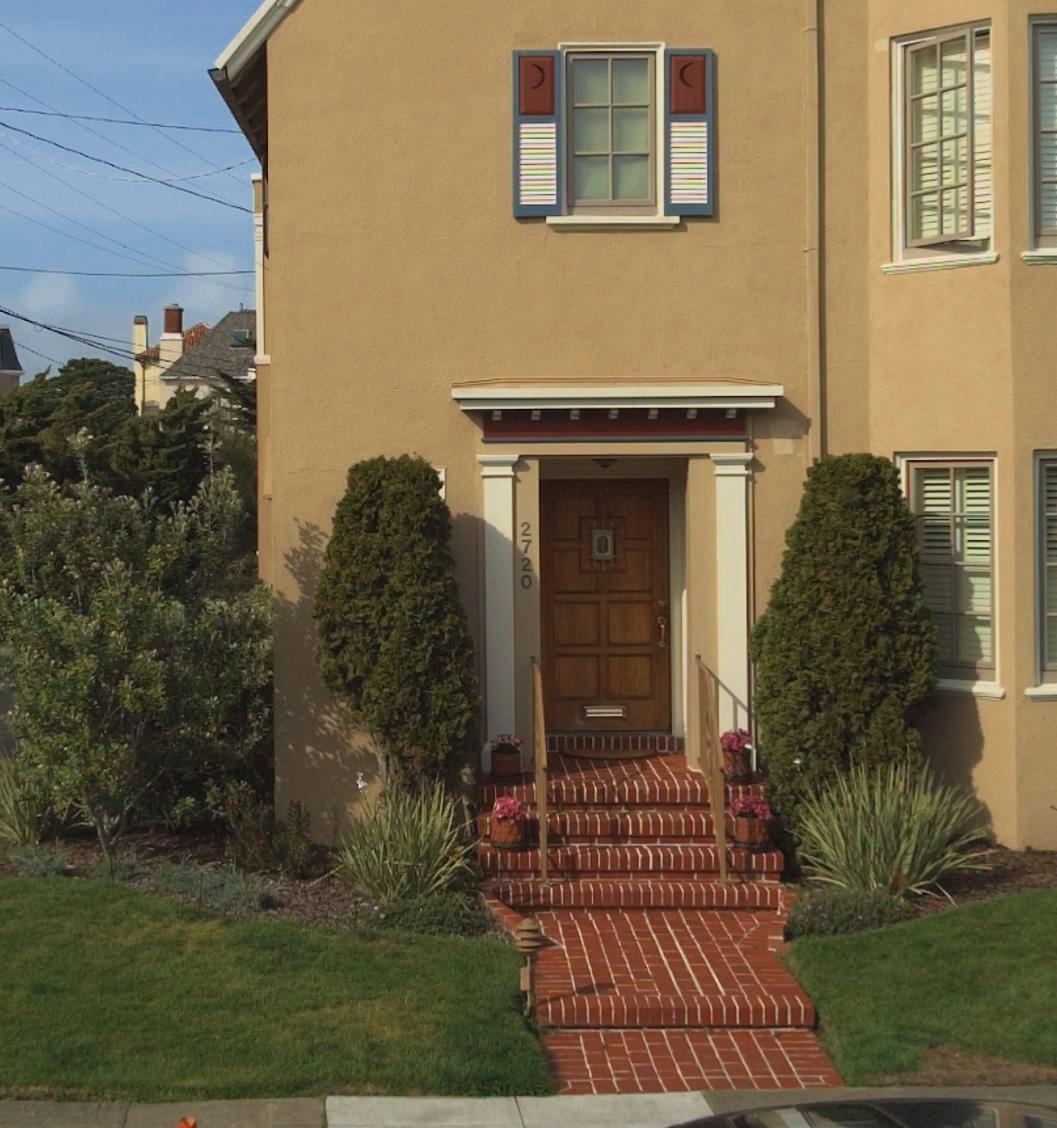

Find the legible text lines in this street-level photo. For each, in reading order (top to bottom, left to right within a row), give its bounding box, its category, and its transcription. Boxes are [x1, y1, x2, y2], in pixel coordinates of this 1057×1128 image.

[519, 520, 534, 592] StreetNumber: 2720